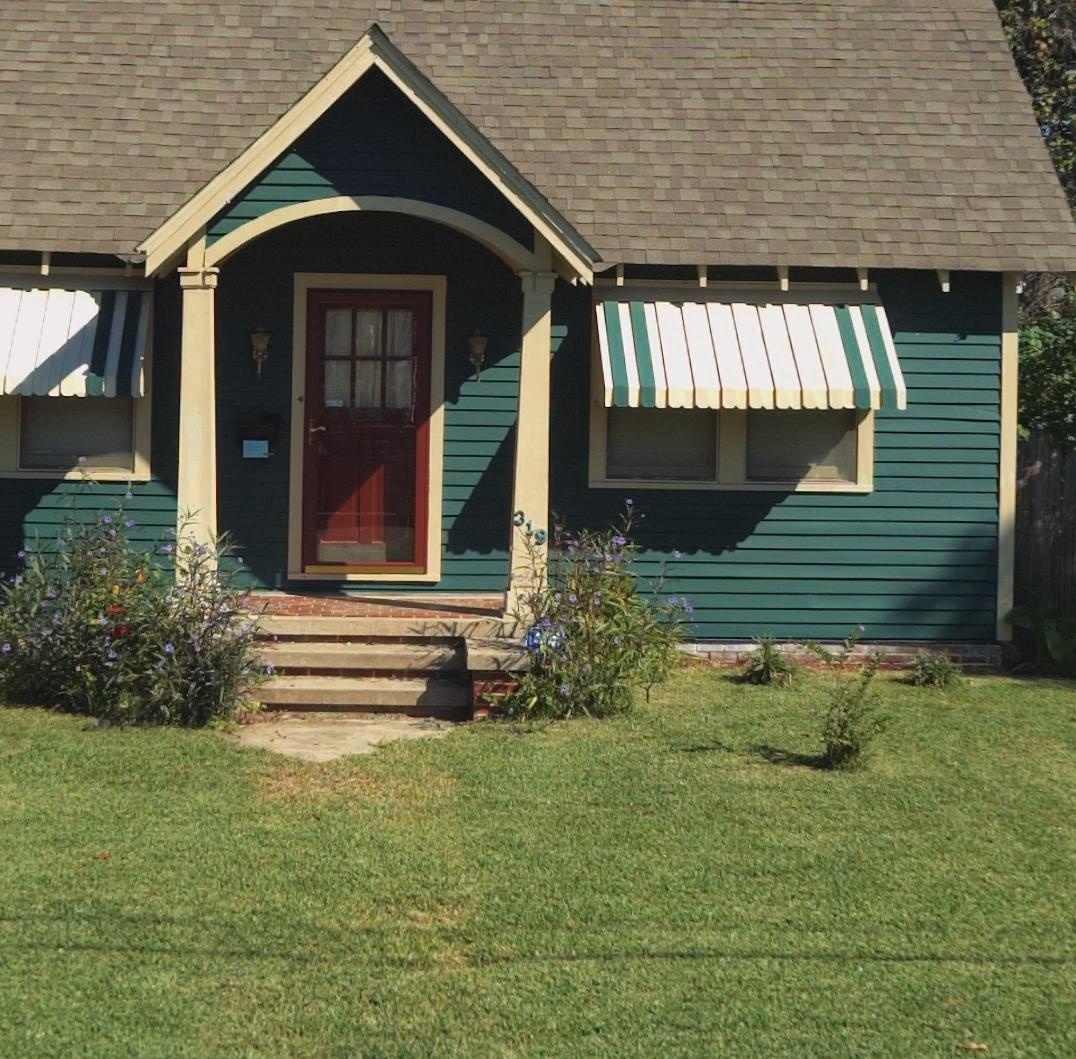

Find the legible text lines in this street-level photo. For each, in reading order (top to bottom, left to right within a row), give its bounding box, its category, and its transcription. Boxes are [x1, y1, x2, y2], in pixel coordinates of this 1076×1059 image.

[511, 508, 548, 547] StreetNumber: 319